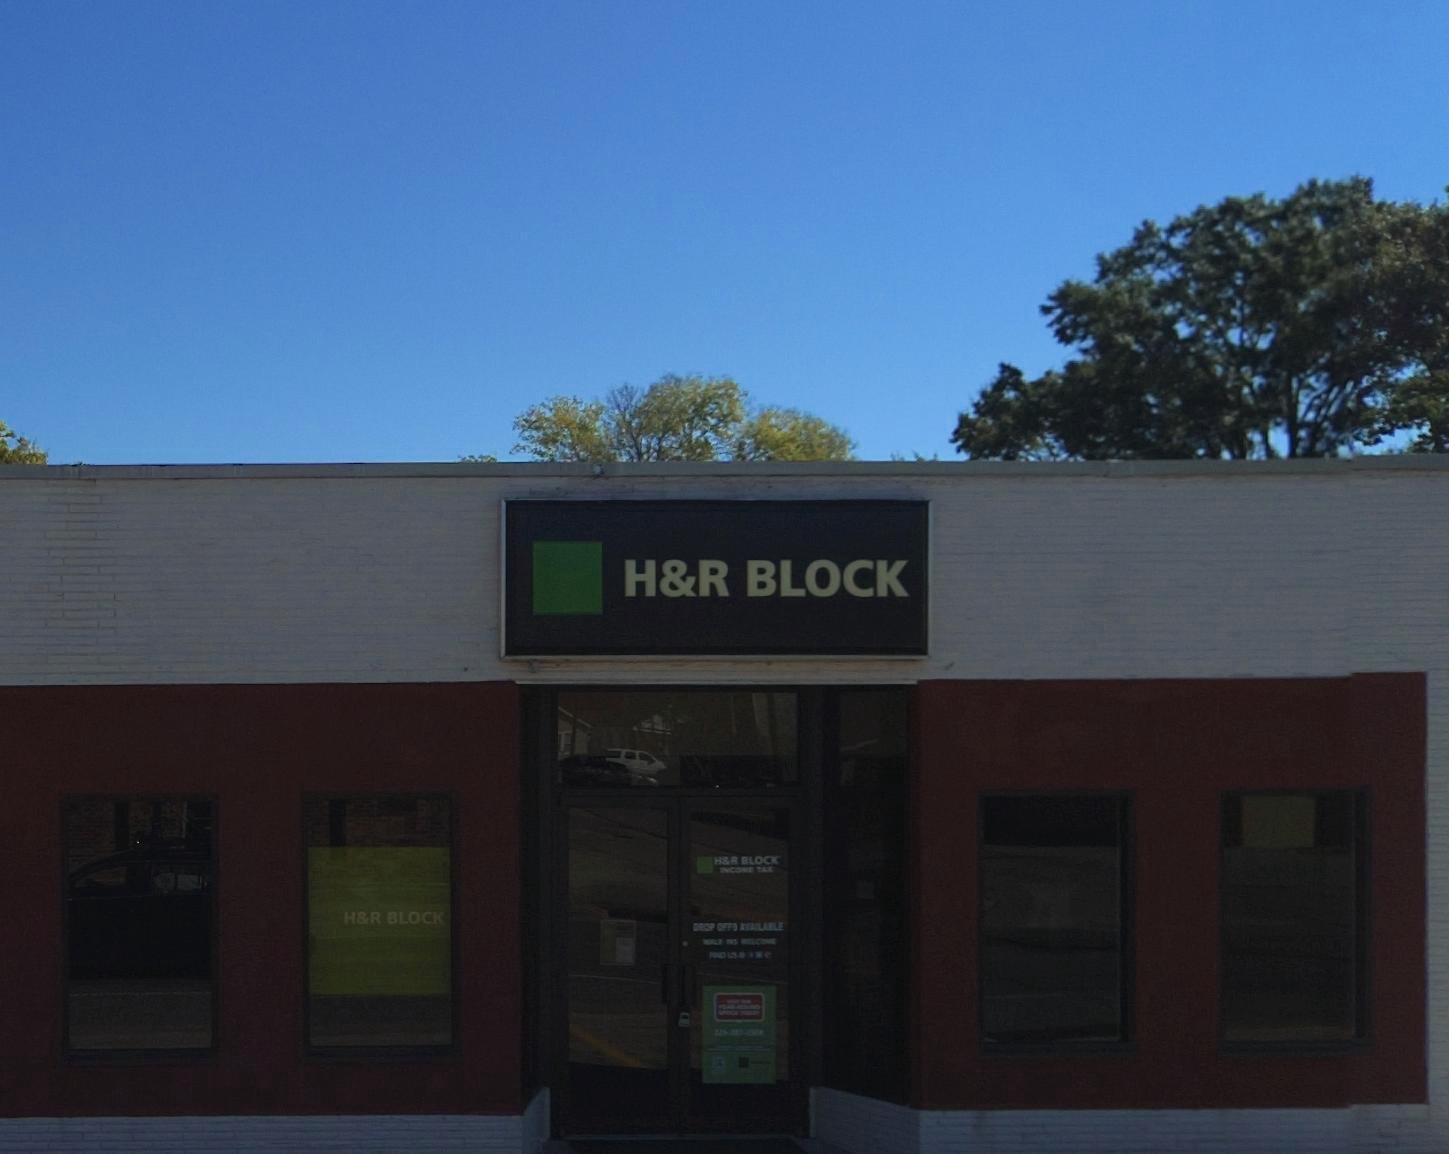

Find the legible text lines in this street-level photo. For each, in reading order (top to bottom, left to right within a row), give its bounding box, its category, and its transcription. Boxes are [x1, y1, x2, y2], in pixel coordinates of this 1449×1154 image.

[622, 557, 913, 600] BusinessName: H&R BLOCK
[713, 854, 780, 867] BusinessName: H&R BLOCK
[342, 910, 449, 927] BusinessName: H&R BLOCK
[690, 920, 786, 933] None: DROP OFFS AVAILABLE